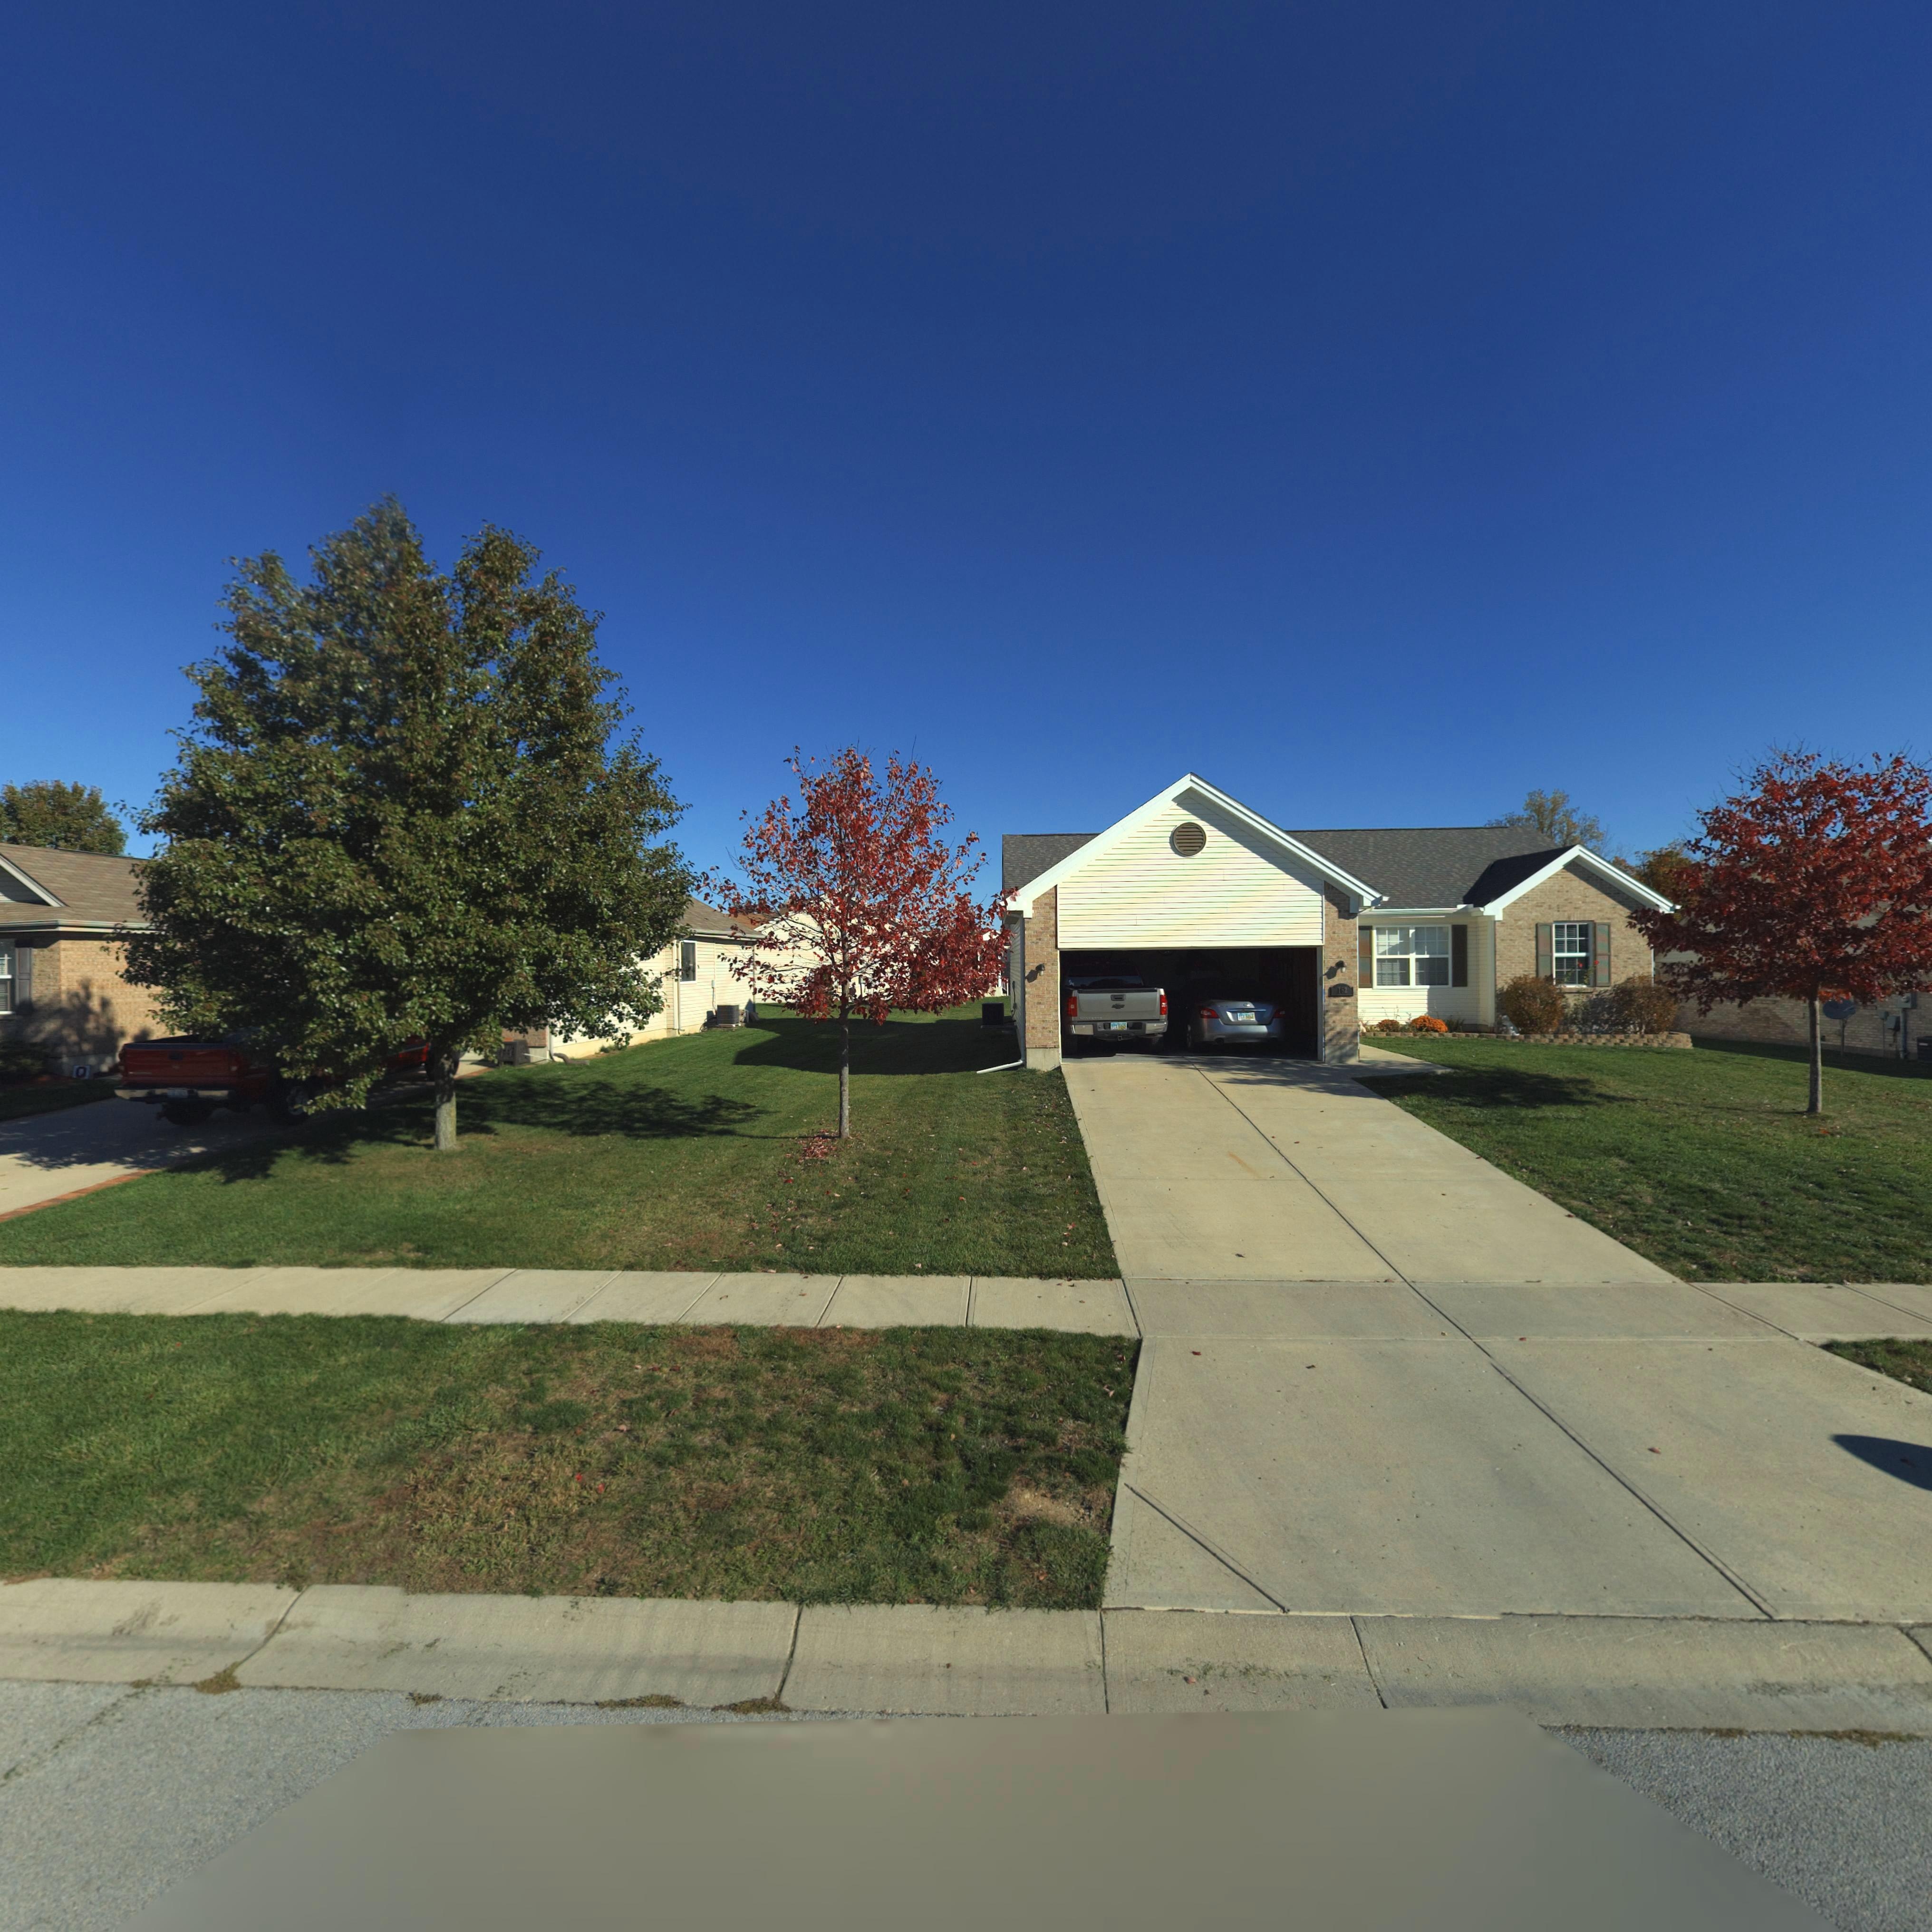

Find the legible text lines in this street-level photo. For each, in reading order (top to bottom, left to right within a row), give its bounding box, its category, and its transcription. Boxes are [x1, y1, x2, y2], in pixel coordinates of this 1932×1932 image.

[1337, 986, 1348, 994] StreetNumber: 162